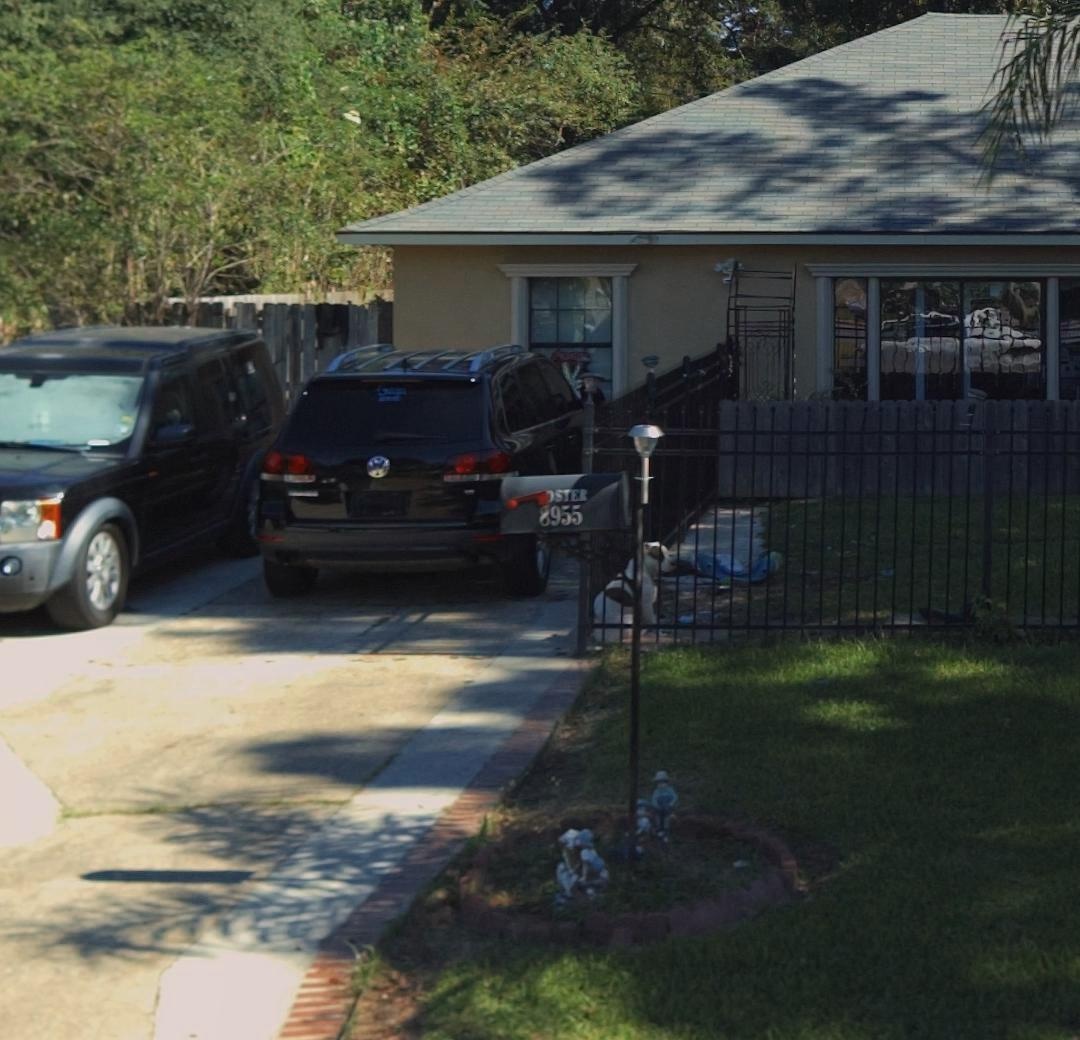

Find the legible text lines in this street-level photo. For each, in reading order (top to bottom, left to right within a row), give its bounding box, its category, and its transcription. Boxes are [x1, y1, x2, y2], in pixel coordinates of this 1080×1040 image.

[553, 487, 590, 503] None: STER
[537, 502, 585, 529] StreetNumber: 8955